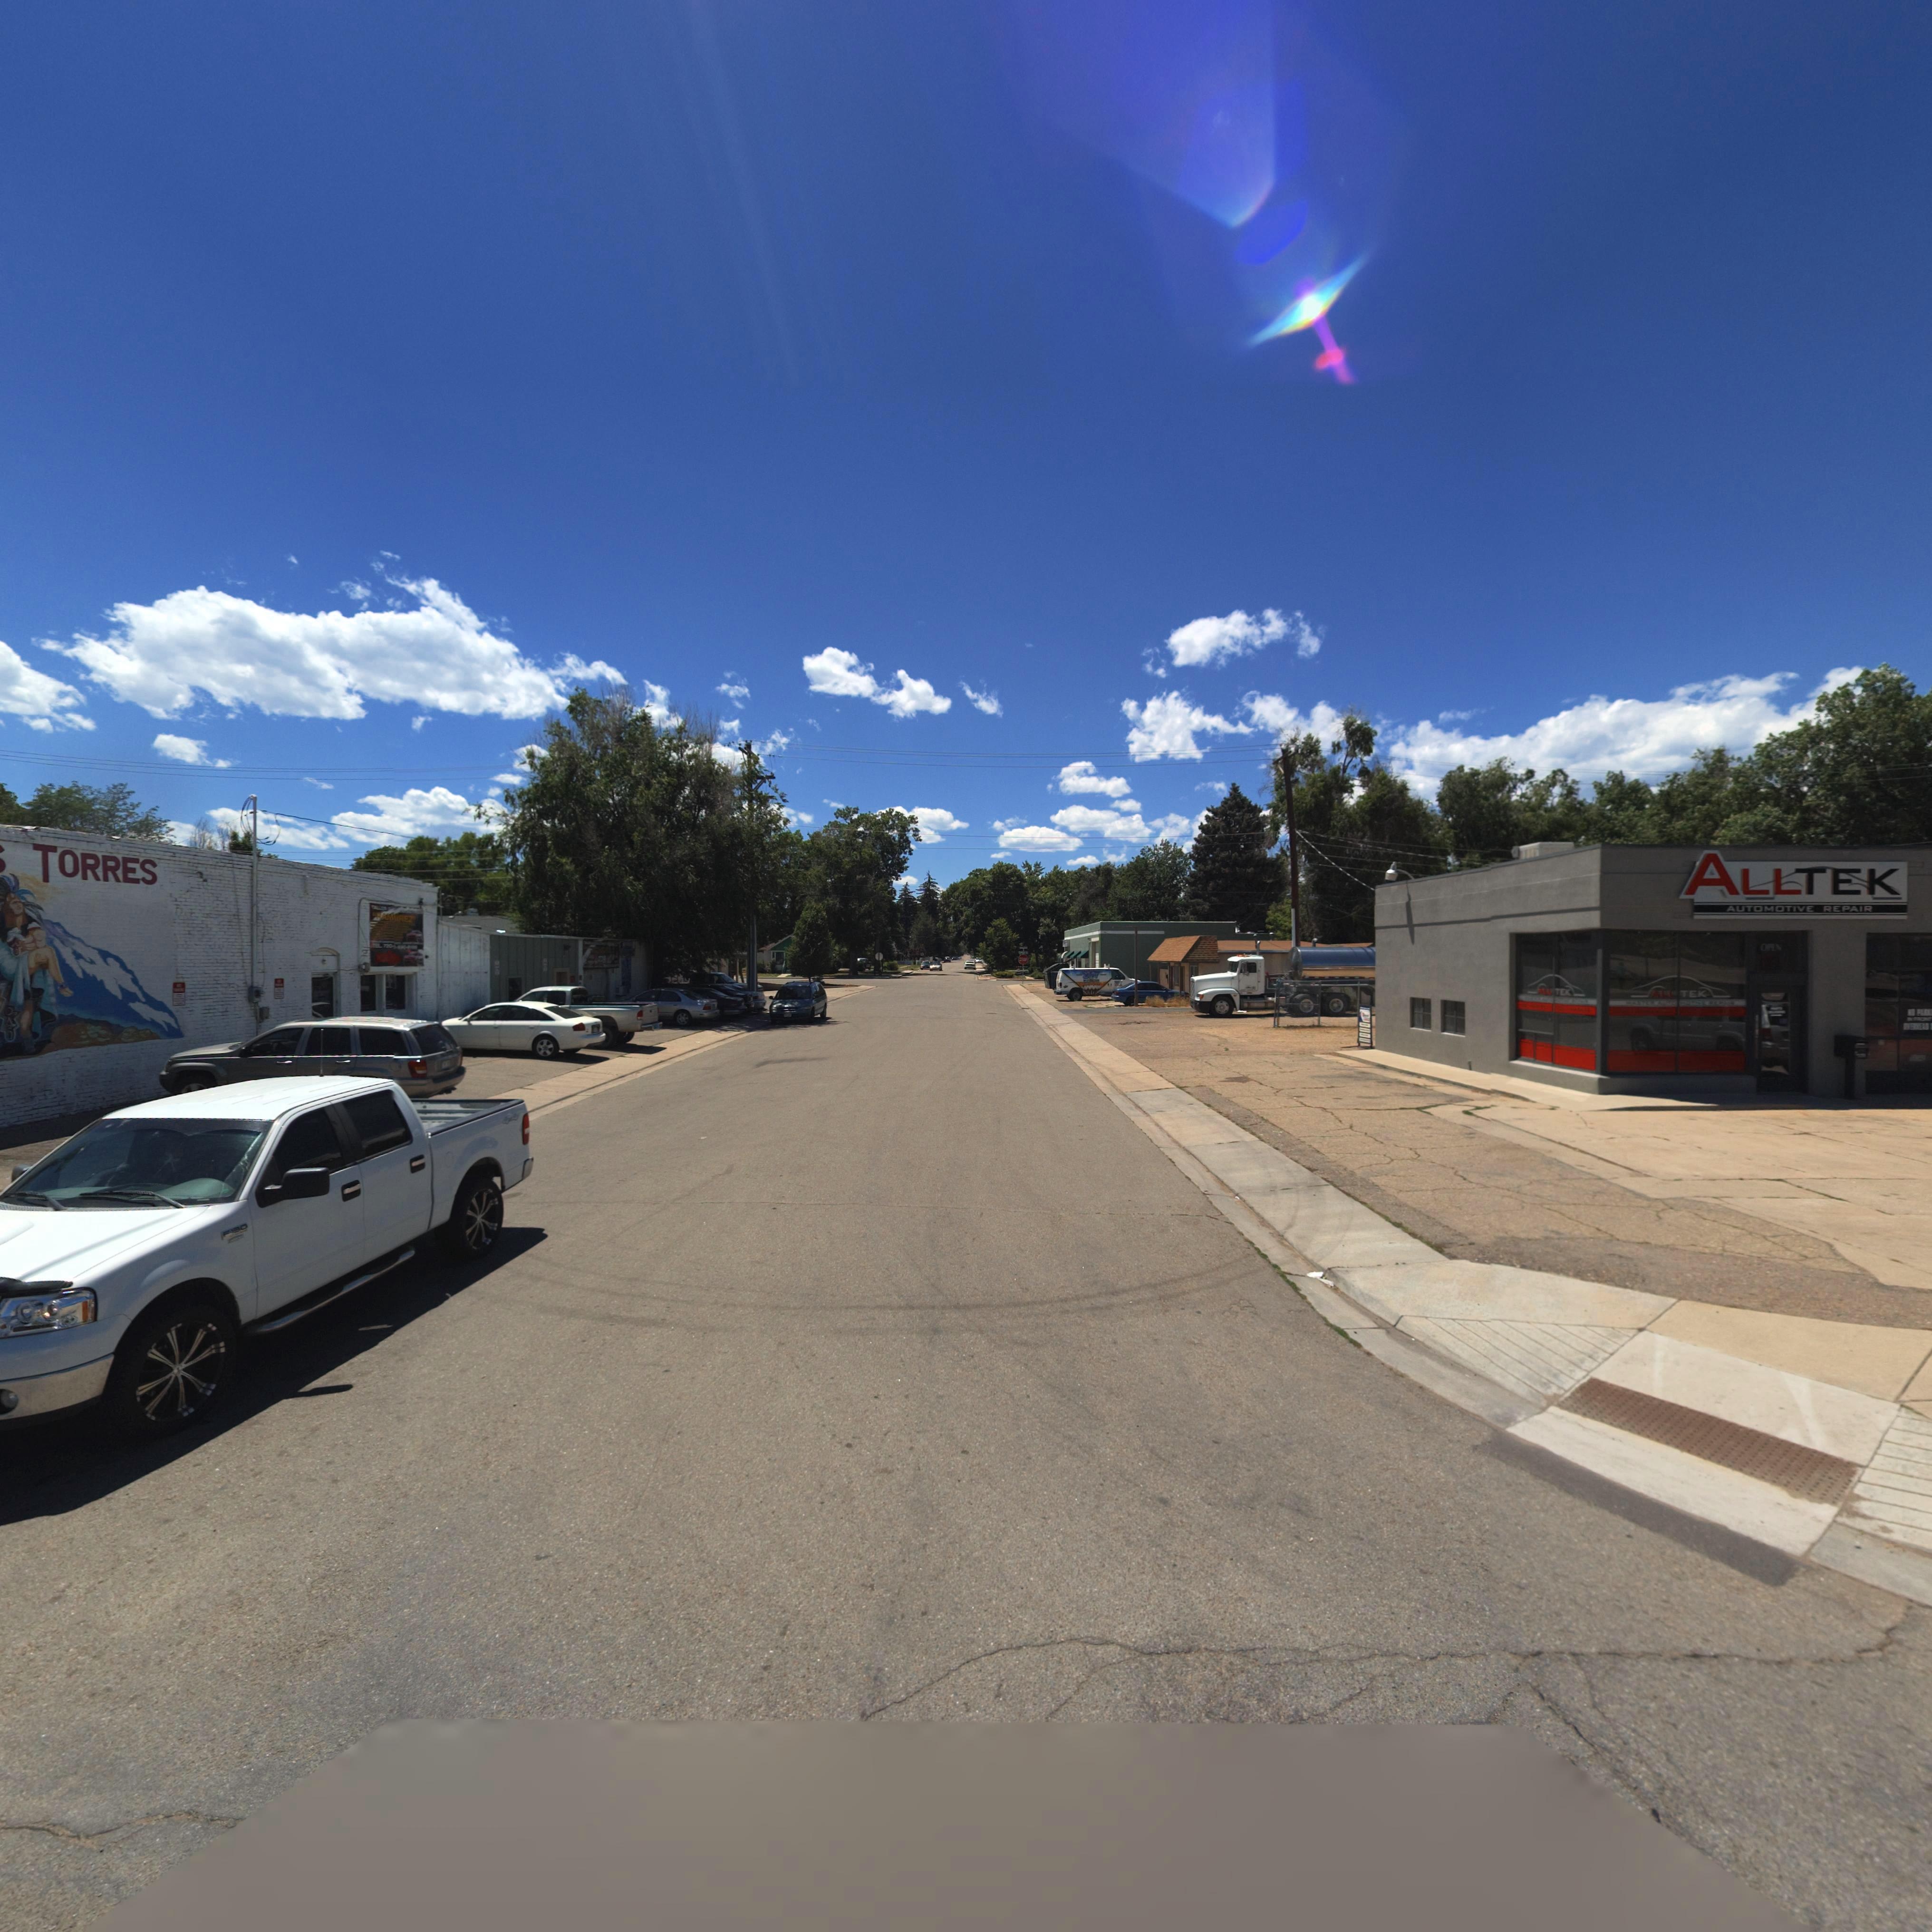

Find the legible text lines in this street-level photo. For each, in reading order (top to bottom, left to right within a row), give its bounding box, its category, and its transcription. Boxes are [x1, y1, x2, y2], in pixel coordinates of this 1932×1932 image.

[31, 841, 158, 886] BusinessName: TORRES
[1678, 849, 1900, 899] BusinessName: ALLTEK
[1726, 905, 1873, 912] BusinessName: AUTOMOTIVE REPAIR
[1538, 987, 1570, 996] BusinessName: ALL TEK
[1652, 990, 1706, 998] BusinessName: ALL TEK